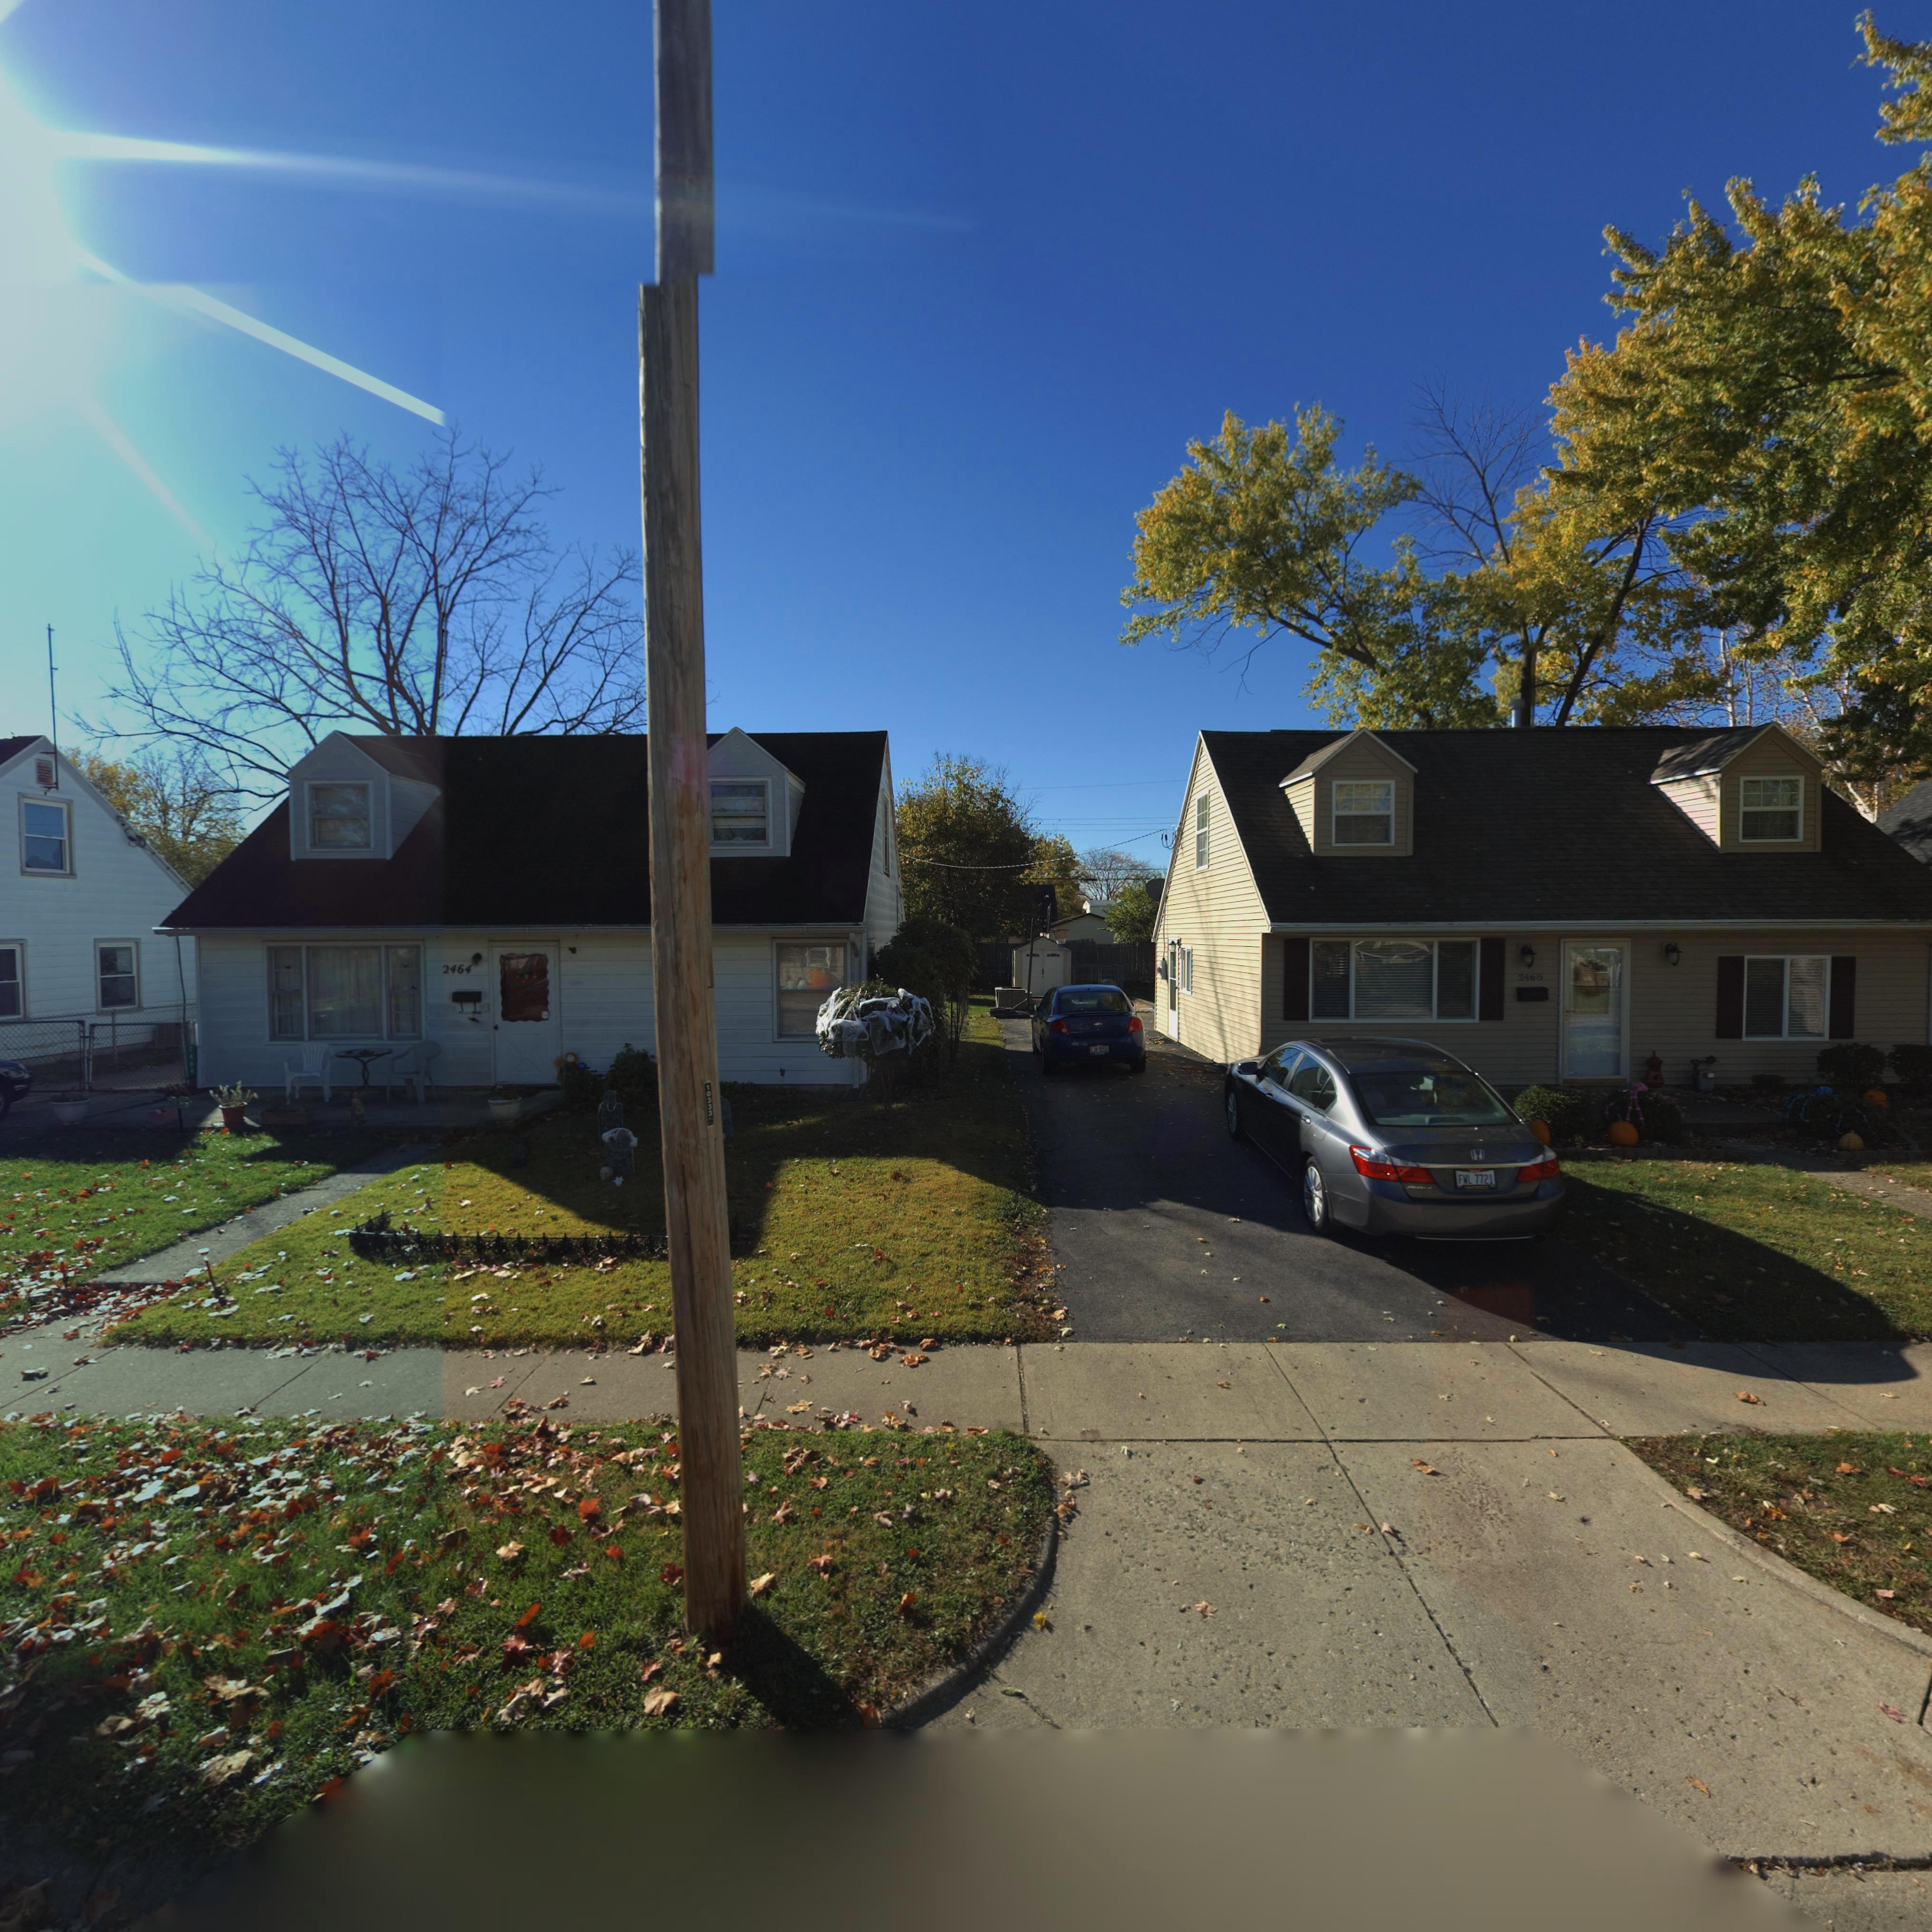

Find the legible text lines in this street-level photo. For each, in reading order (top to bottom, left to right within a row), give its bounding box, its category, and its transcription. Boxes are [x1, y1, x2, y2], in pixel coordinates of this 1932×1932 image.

[442, 964, 472, 974] StreetNumber: 2464
[1517, 973, 1543, 982] StreetNumber: 246*